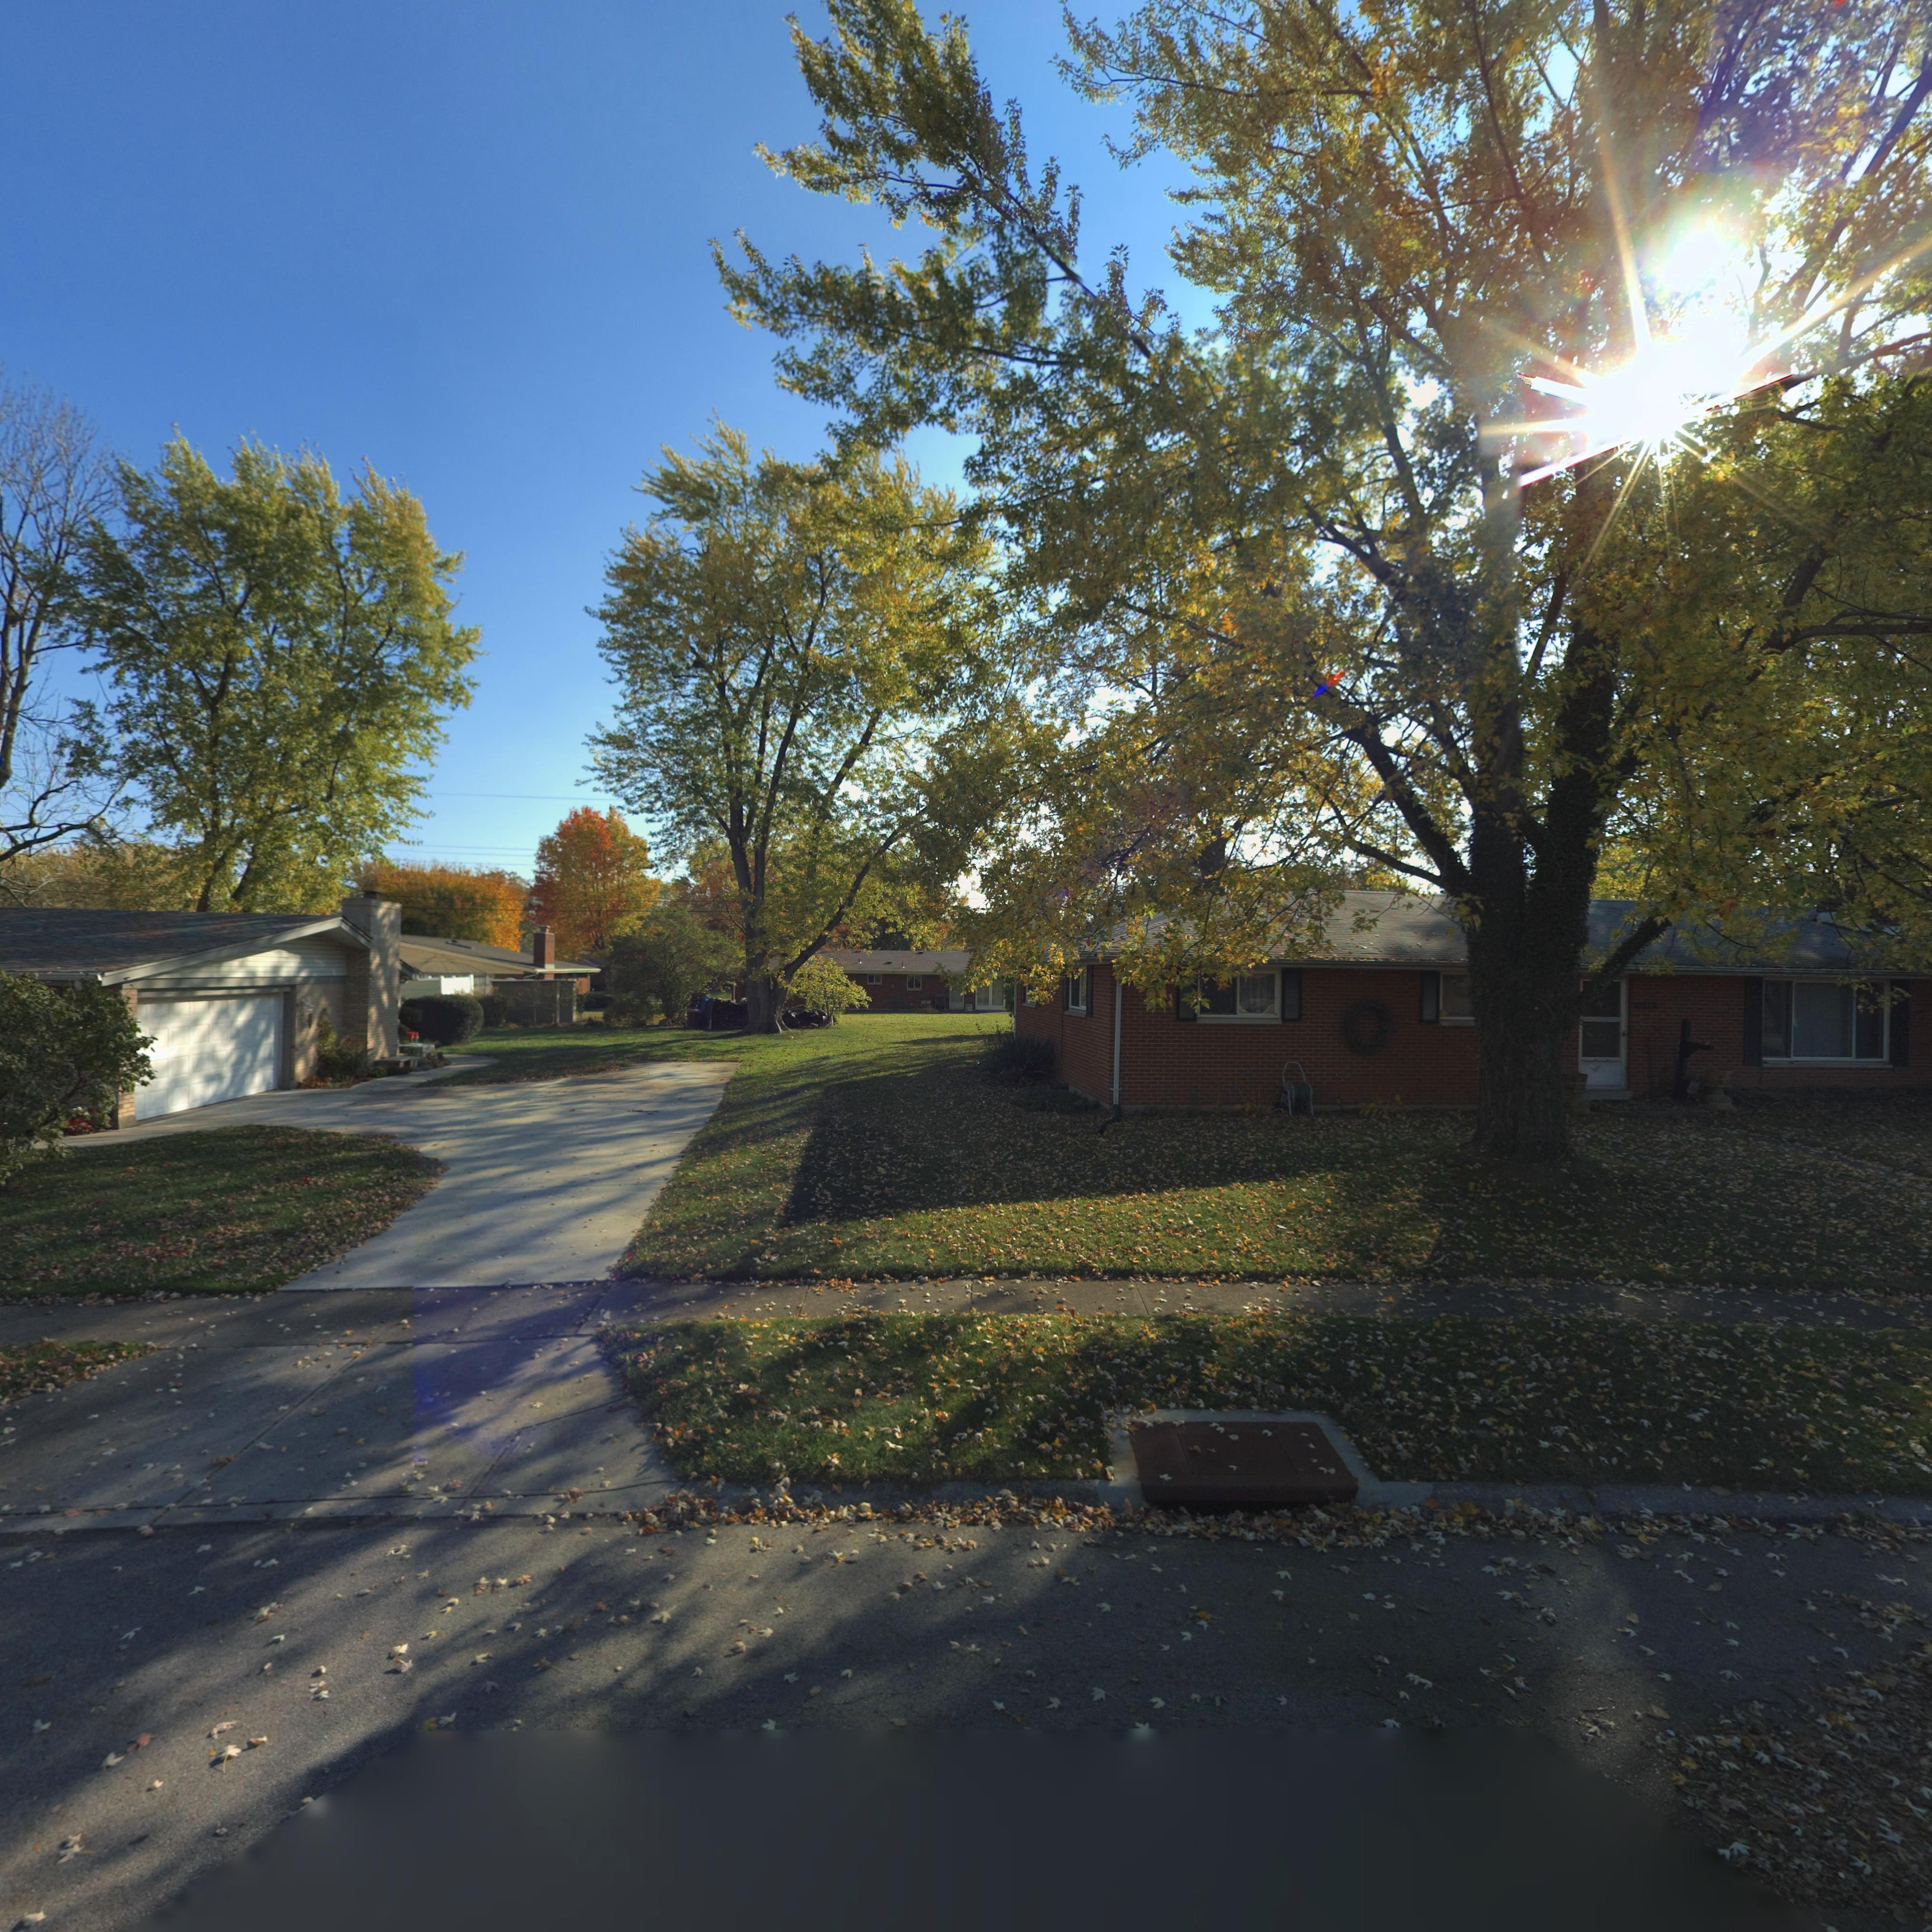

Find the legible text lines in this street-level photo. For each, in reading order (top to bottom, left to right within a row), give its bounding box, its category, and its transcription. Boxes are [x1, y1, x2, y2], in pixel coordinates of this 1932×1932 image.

[1640, 1003, 1655, 1009] StreetNumber: 64*